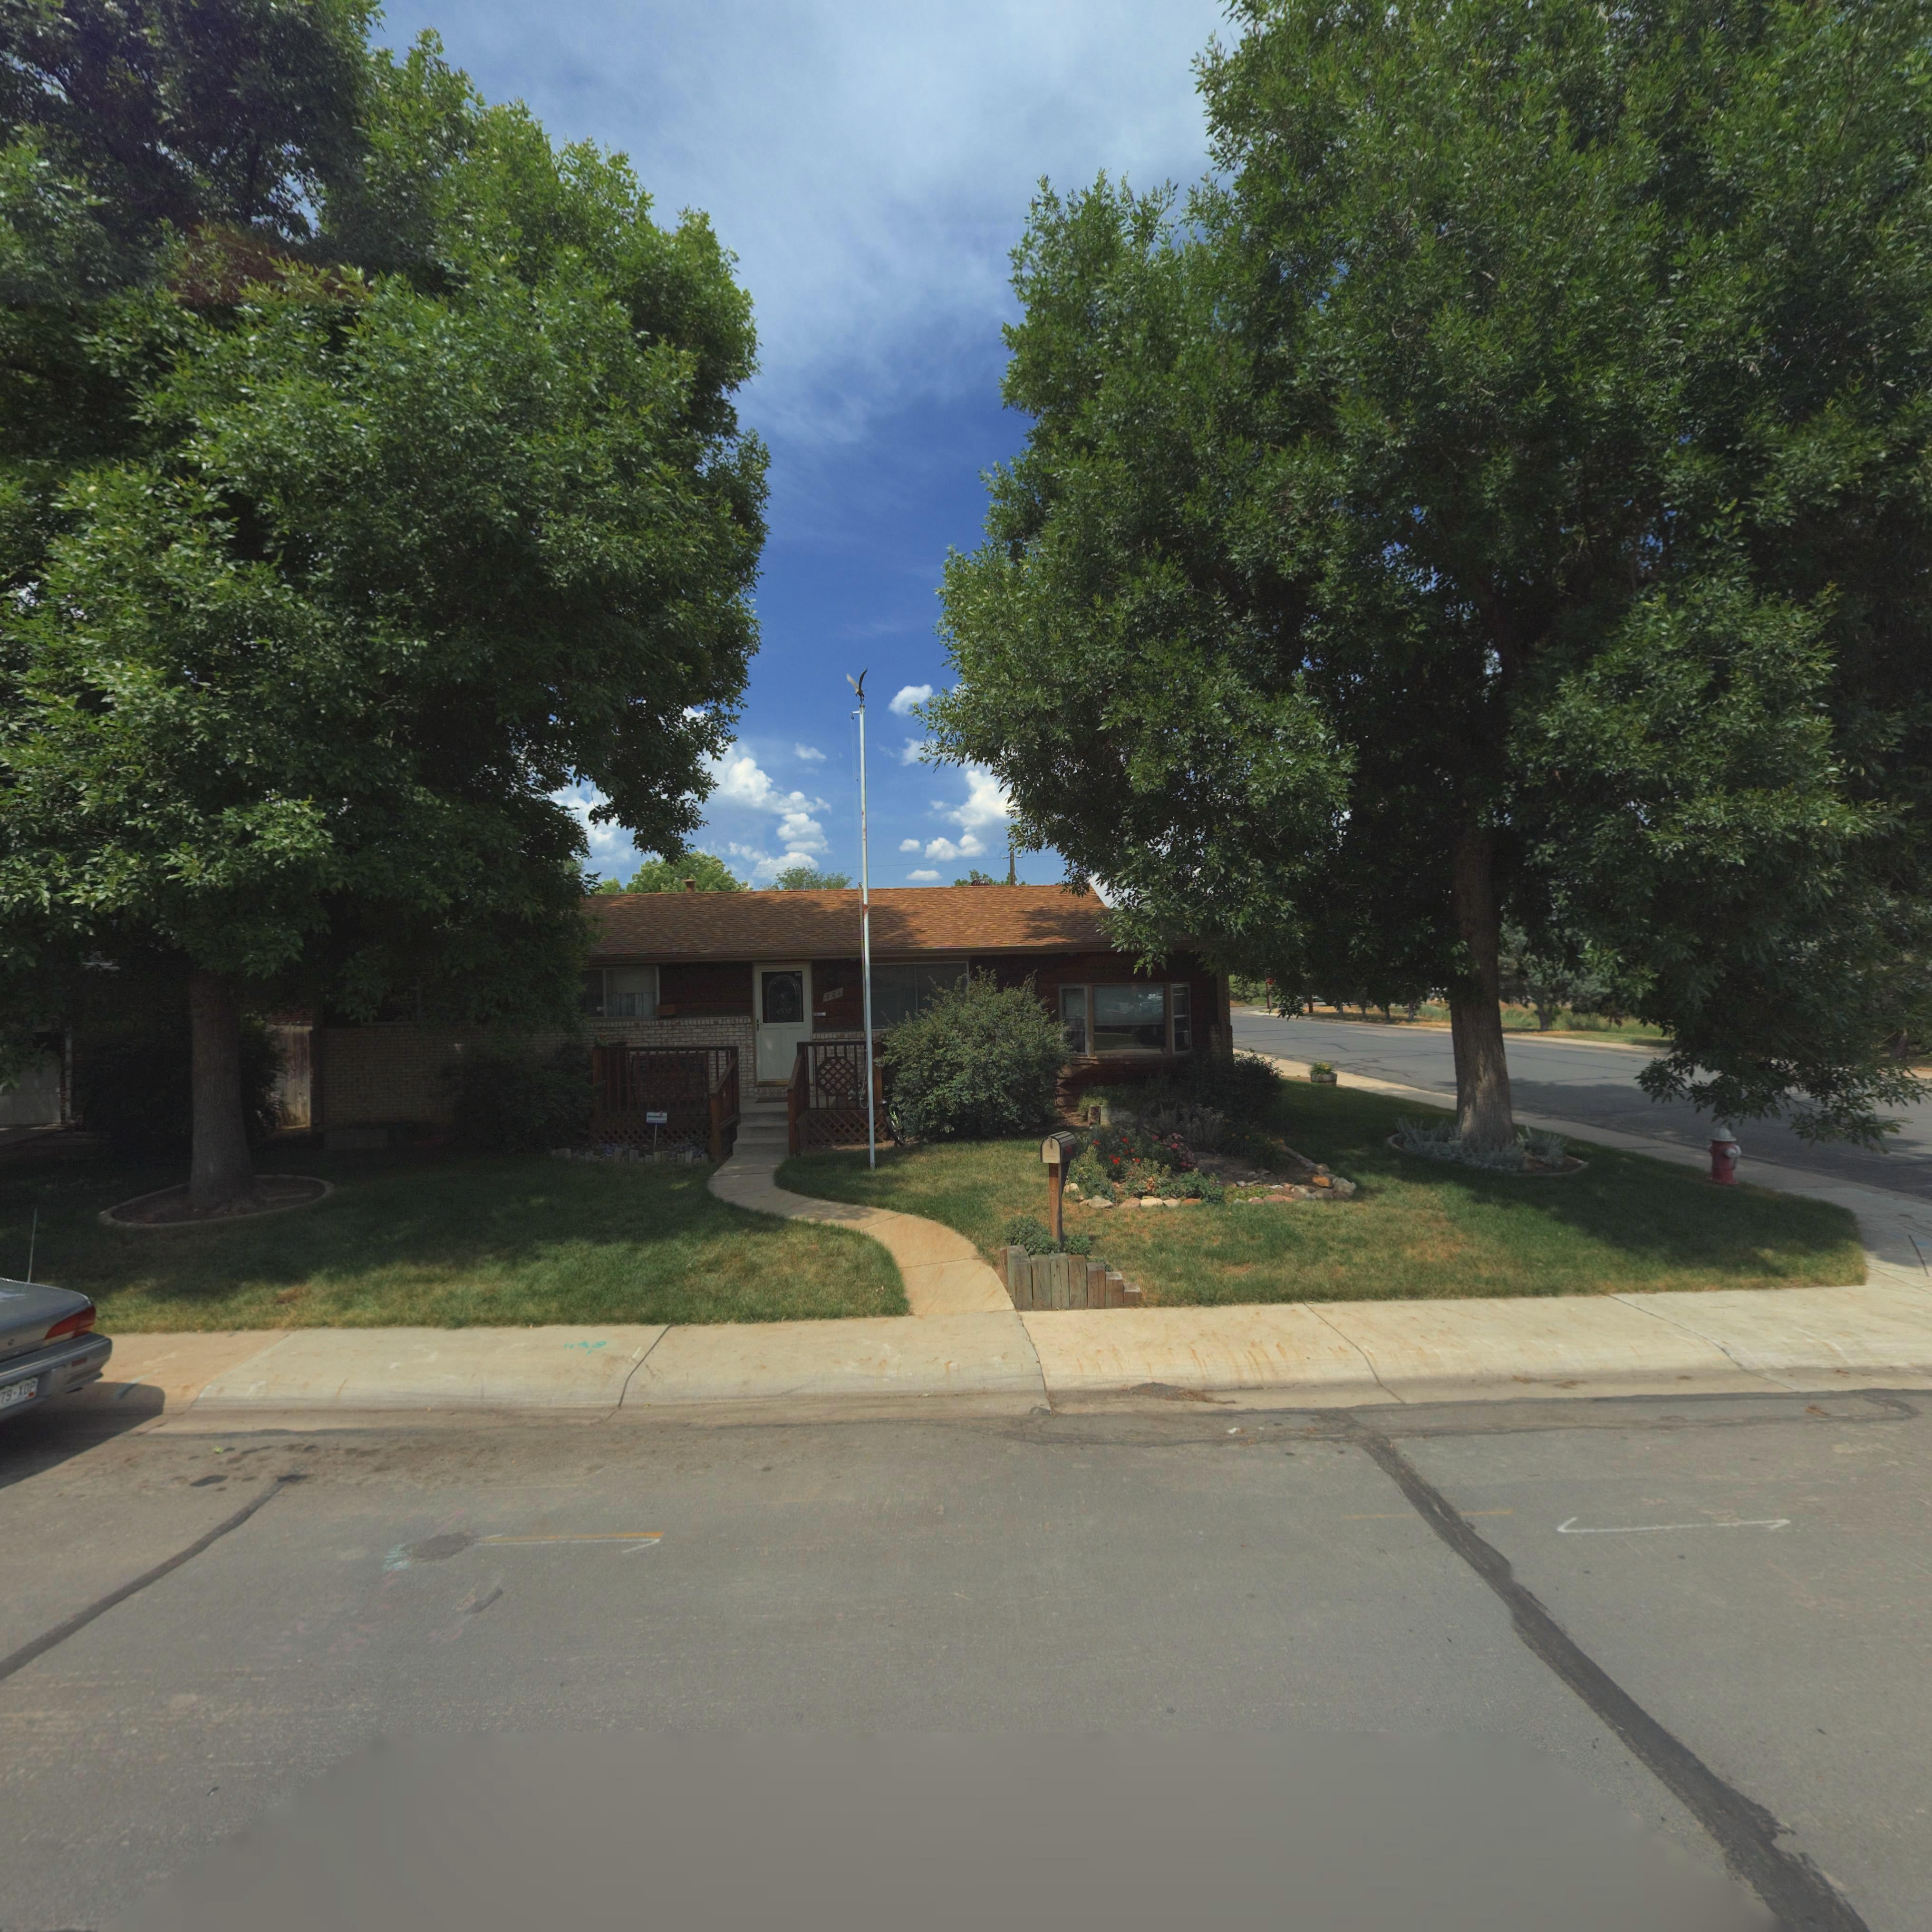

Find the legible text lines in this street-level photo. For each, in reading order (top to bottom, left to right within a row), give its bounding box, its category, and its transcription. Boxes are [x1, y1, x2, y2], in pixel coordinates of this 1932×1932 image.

[824, 987, 841, 1001] StreetNumber: 701